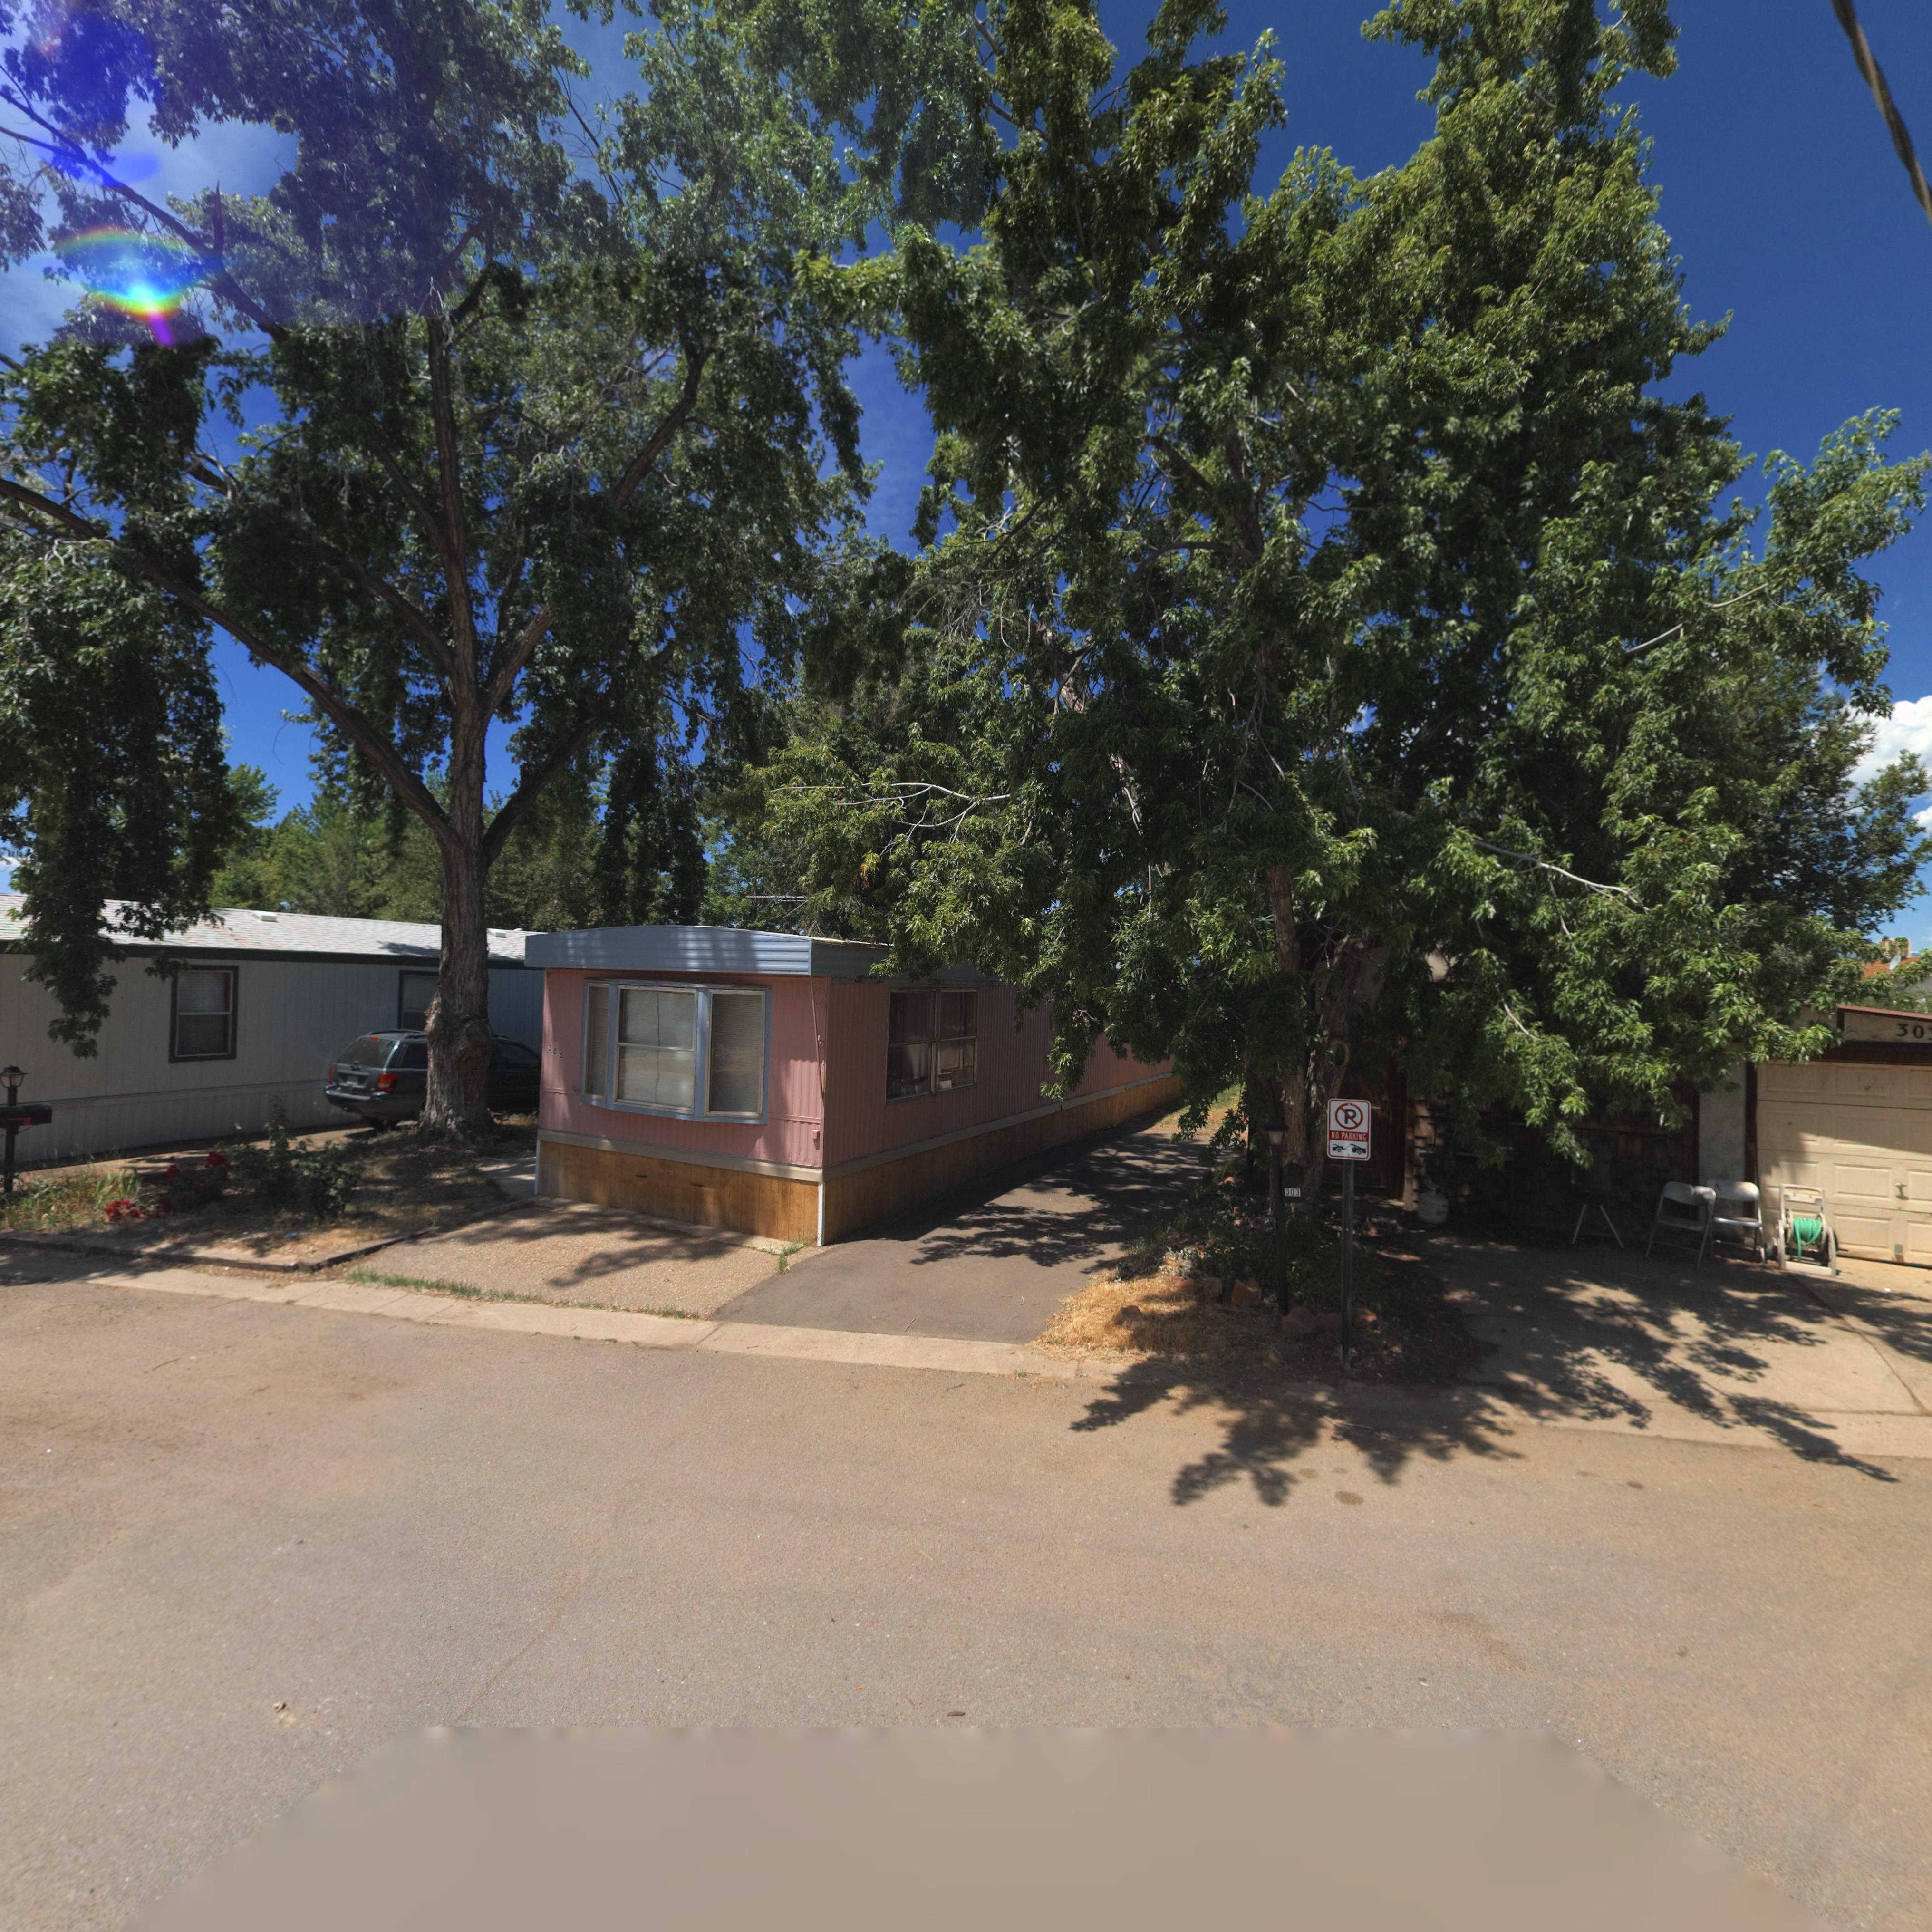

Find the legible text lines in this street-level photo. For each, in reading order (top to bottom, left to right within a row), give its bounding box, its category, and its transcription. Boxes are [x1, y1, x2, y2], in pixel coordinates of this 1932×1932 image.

[1895, 1022, 1926, 1039] StreetNumber: 30
[548, 1044, 563, 1058] StreetNumber: 305
[1285, 1188, 1300, 1196] StreetNumber: 303